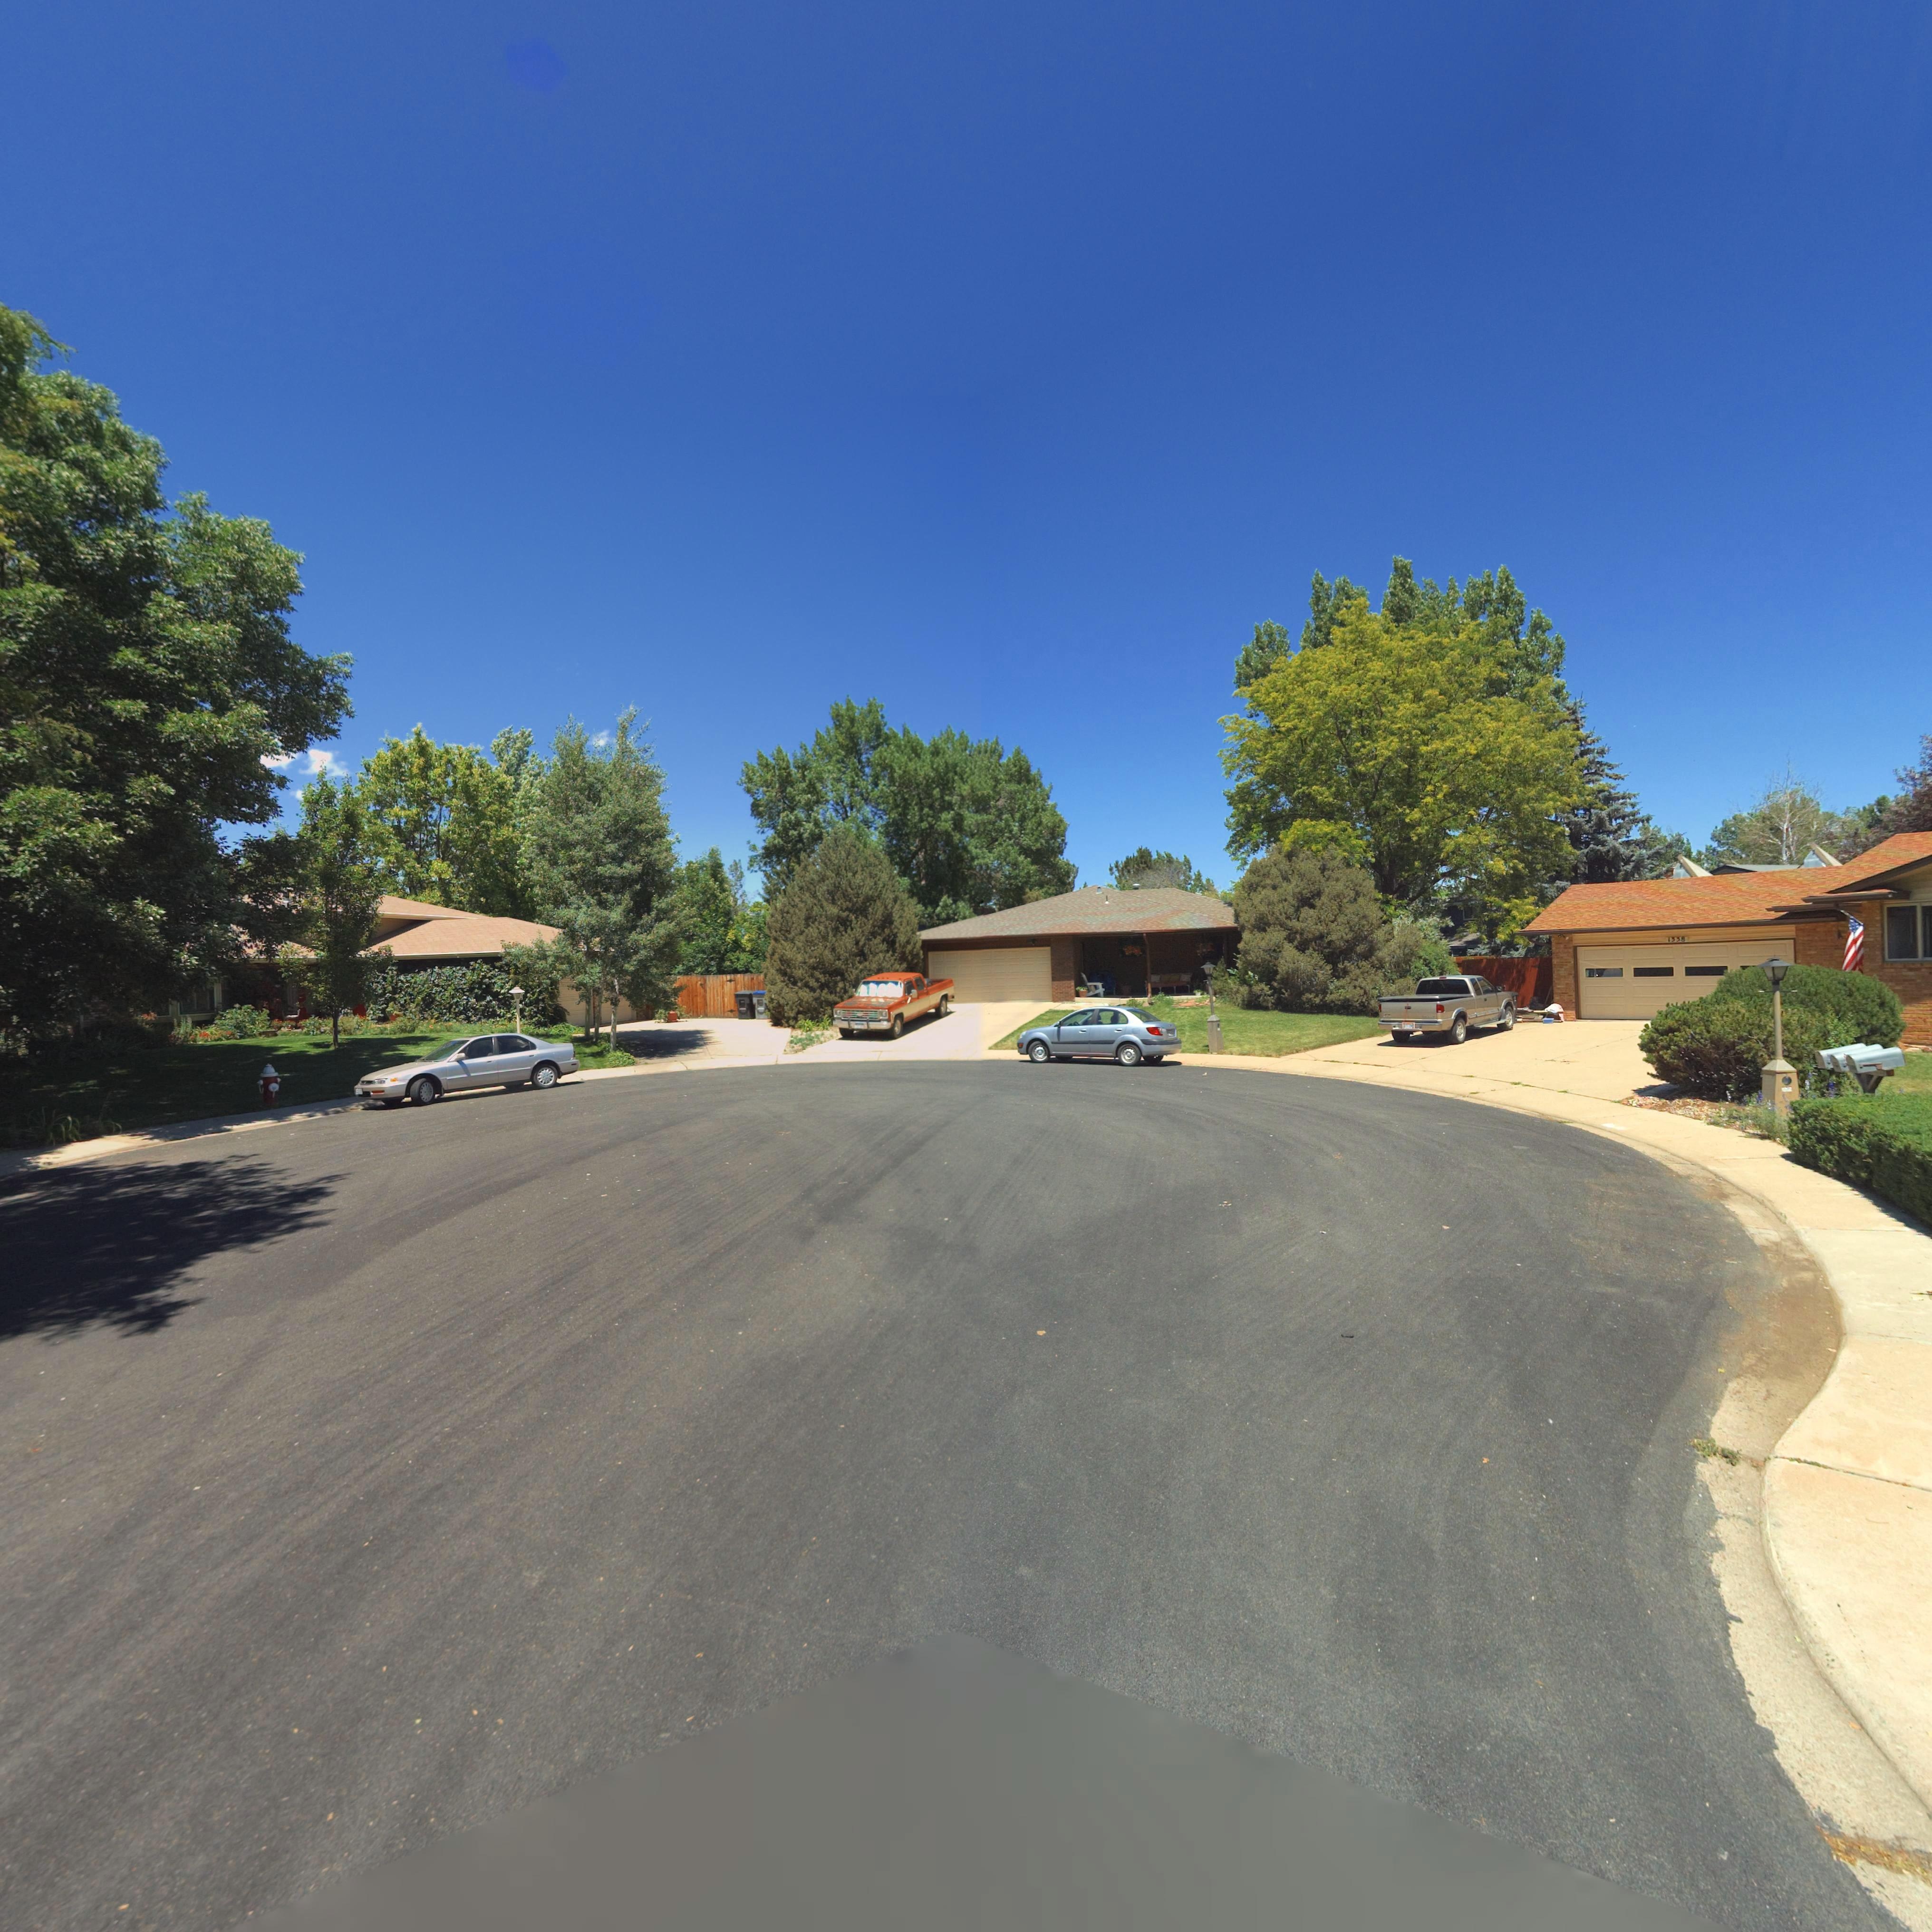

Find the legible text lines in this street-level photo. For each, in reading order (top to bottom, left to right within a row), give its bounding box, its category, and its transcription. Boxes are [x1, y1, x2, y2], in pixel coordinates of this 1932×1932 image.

[1667, 936, 1685, 942] StreetNumber: 1338